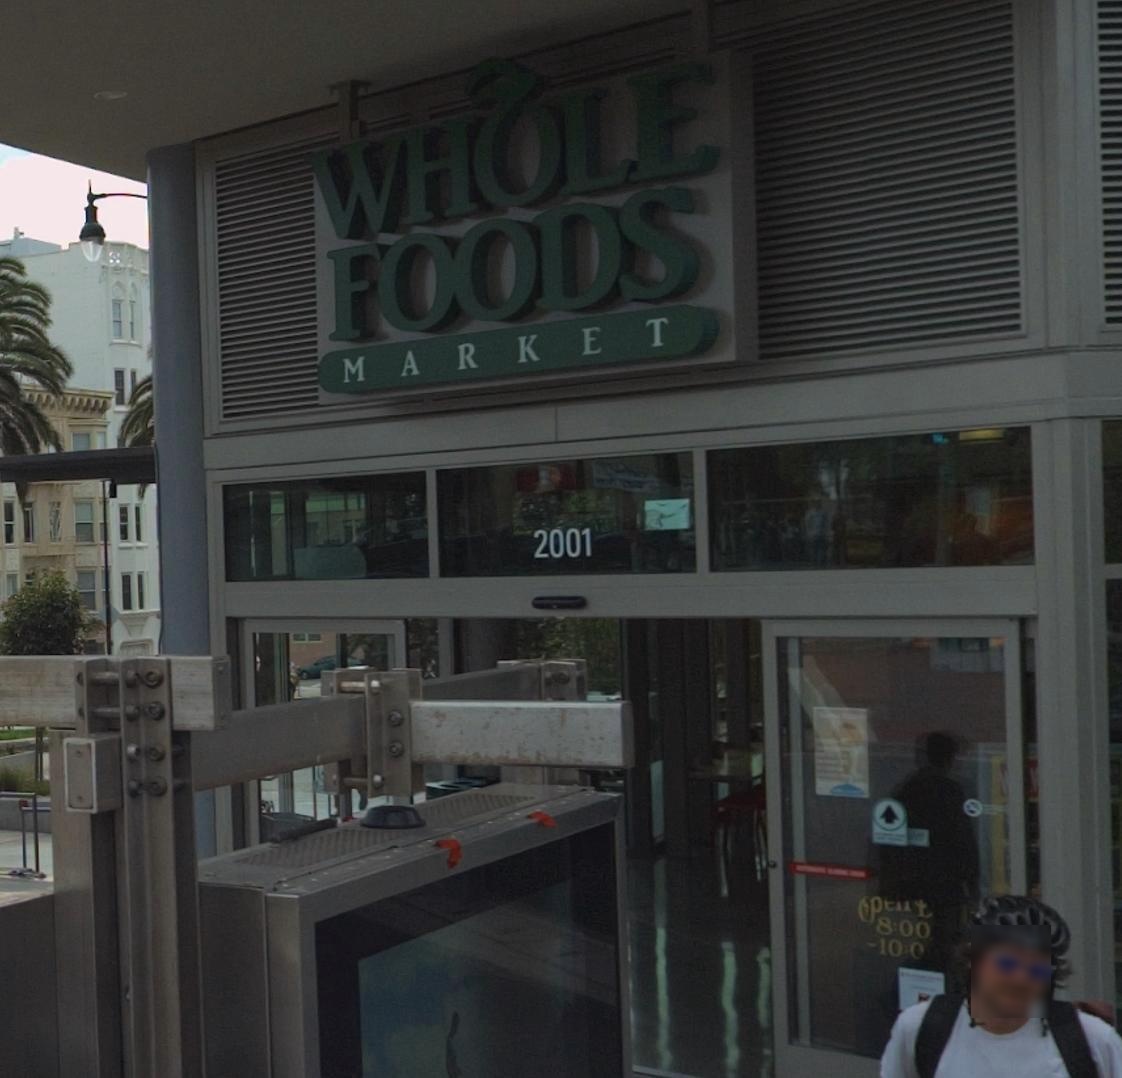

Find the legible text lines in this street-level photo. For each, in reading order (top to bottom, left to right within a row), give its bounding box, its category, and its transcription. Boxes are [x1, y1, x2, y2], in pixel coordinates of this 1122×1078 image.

[296, 57, 718, 244] BusinessName: WHOLE
[324, 182, 699, 345] BusinessName: FOODS
[340, 314, 673, 387] None: MARKET
[531, 524, 595, 561] StreetNumber: 2001
[866, 892, 885, 926] None: P
[874, 914, 934, 941] None: 8:00
[875, 935, 905, 960] None: 10